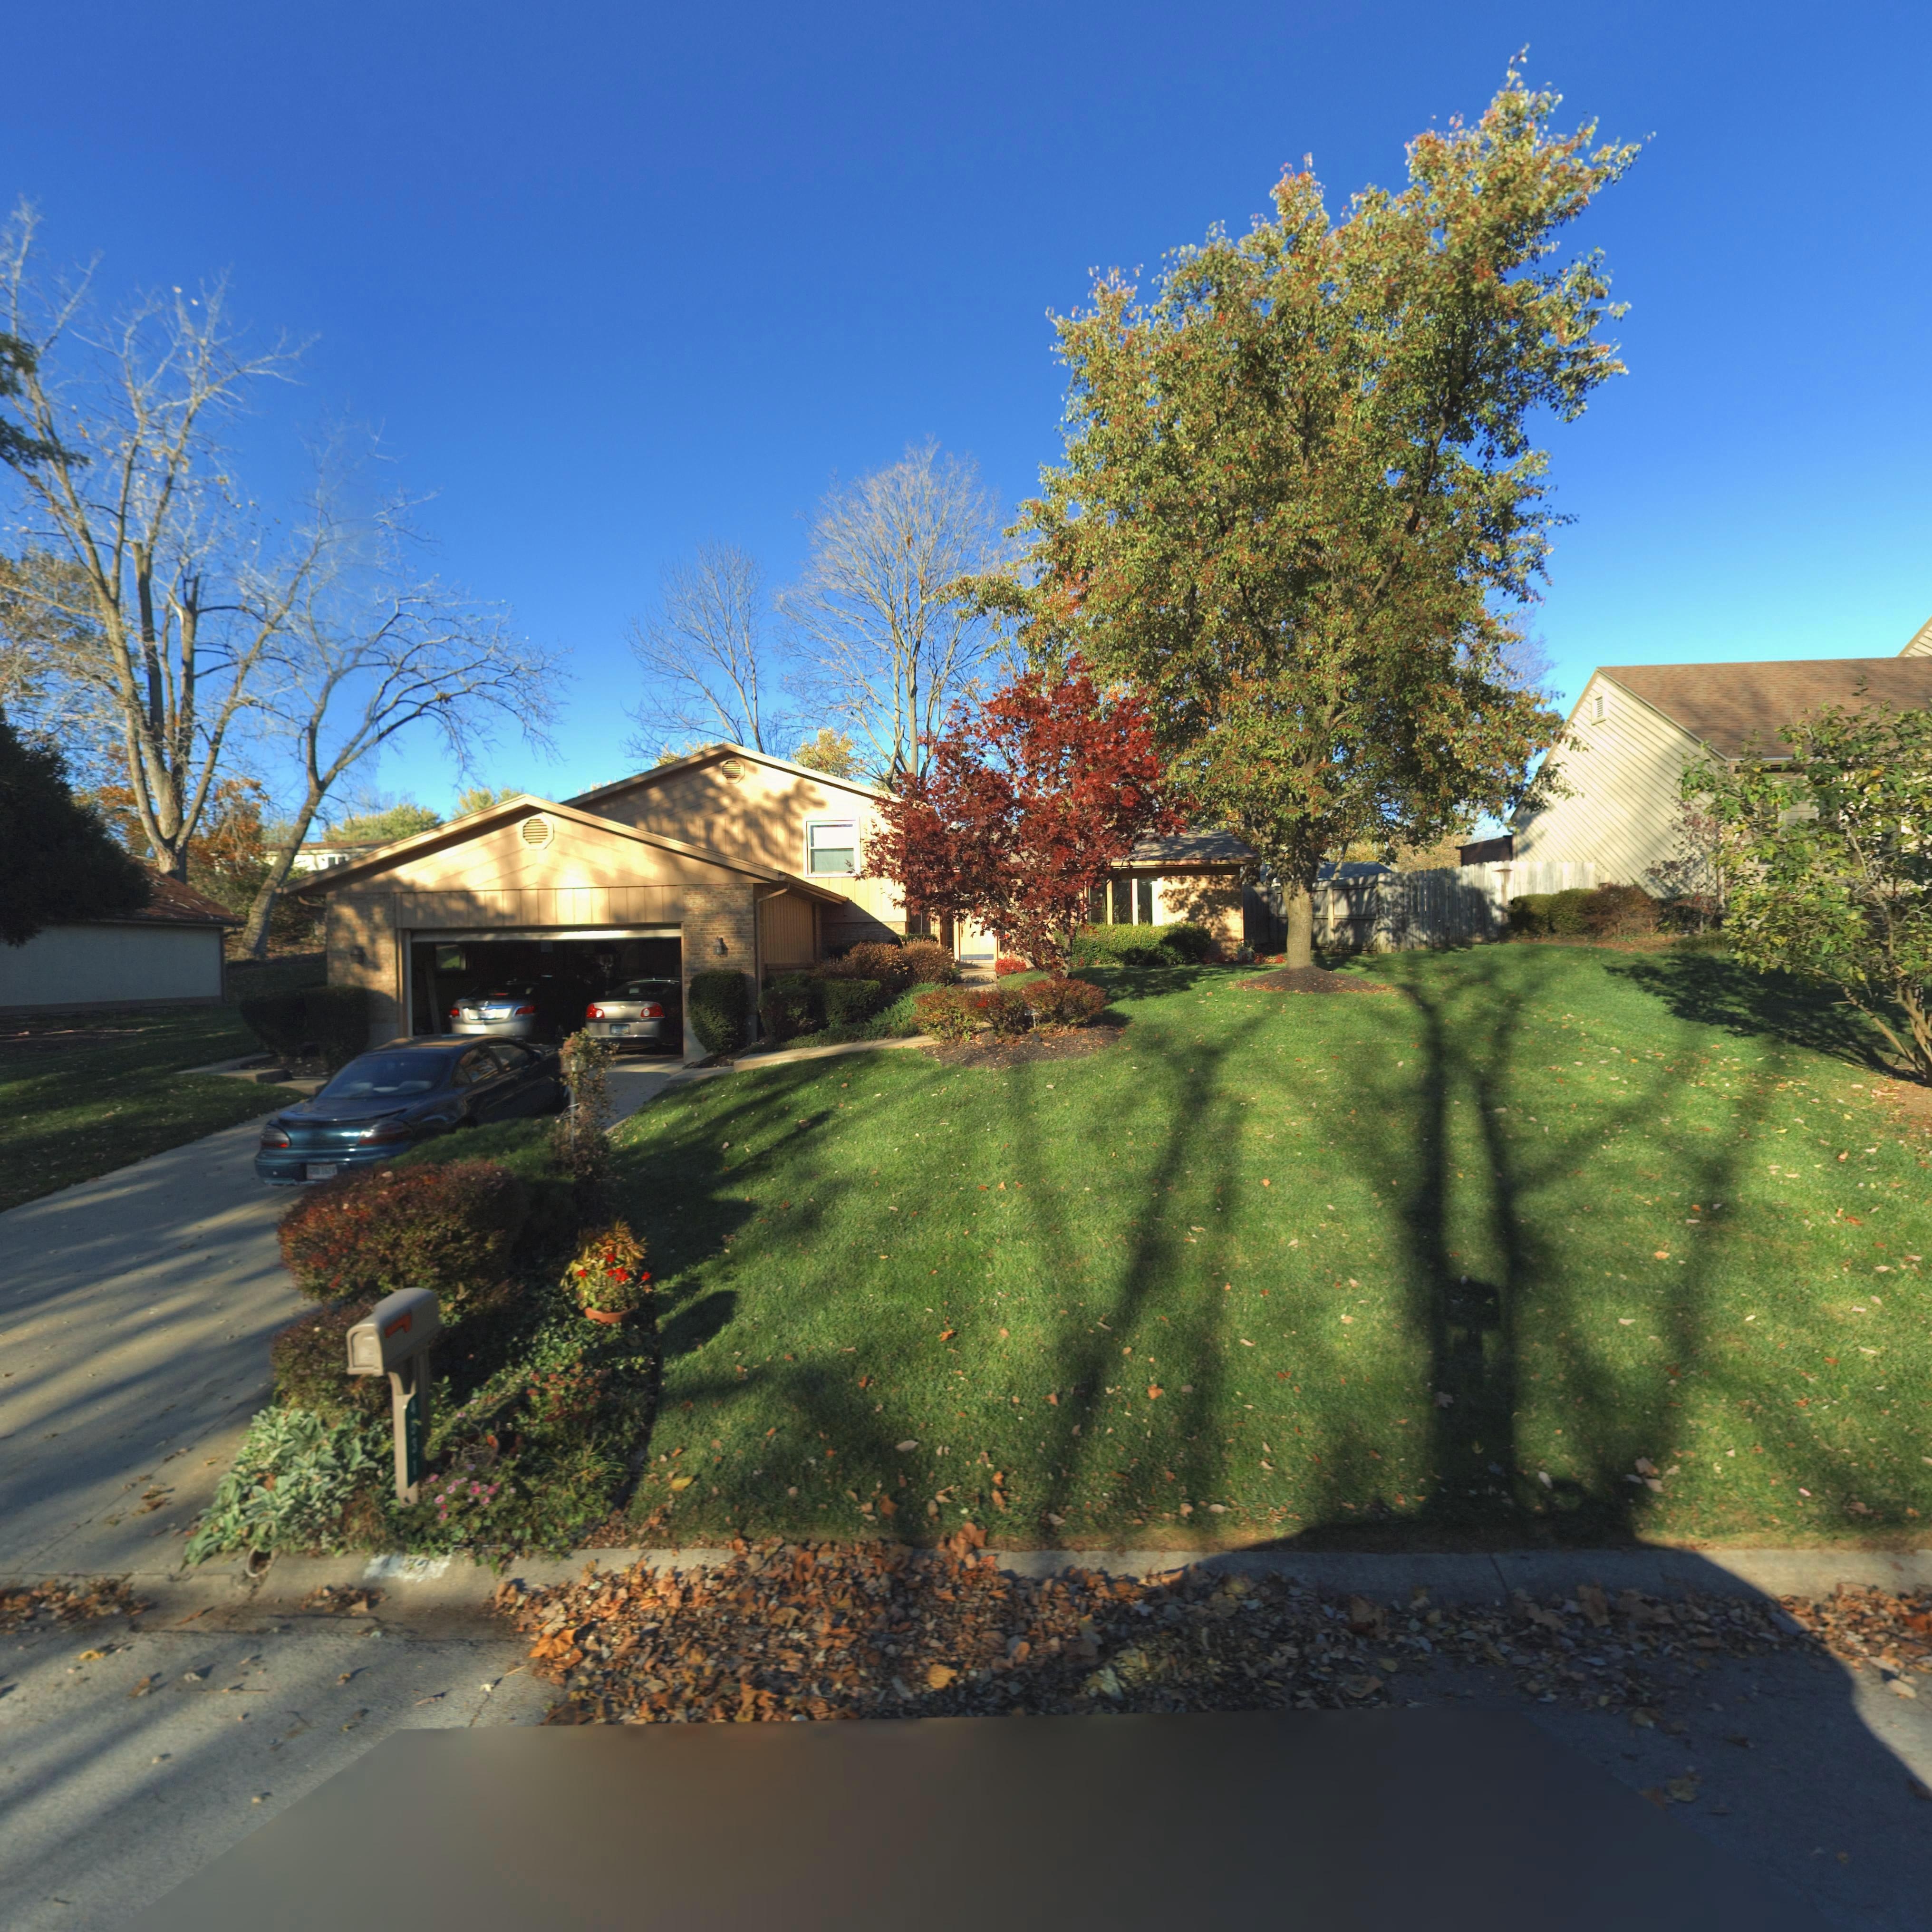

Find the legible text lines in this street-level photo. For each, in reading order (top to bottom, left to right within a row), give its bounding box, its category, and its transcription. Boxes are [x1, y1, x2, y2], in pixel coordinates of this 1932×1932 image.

[408, 1396, 420, 1478] StreetNumber: 45*1
[377, 1550, 433, 1577] StreetNumber: 4*21